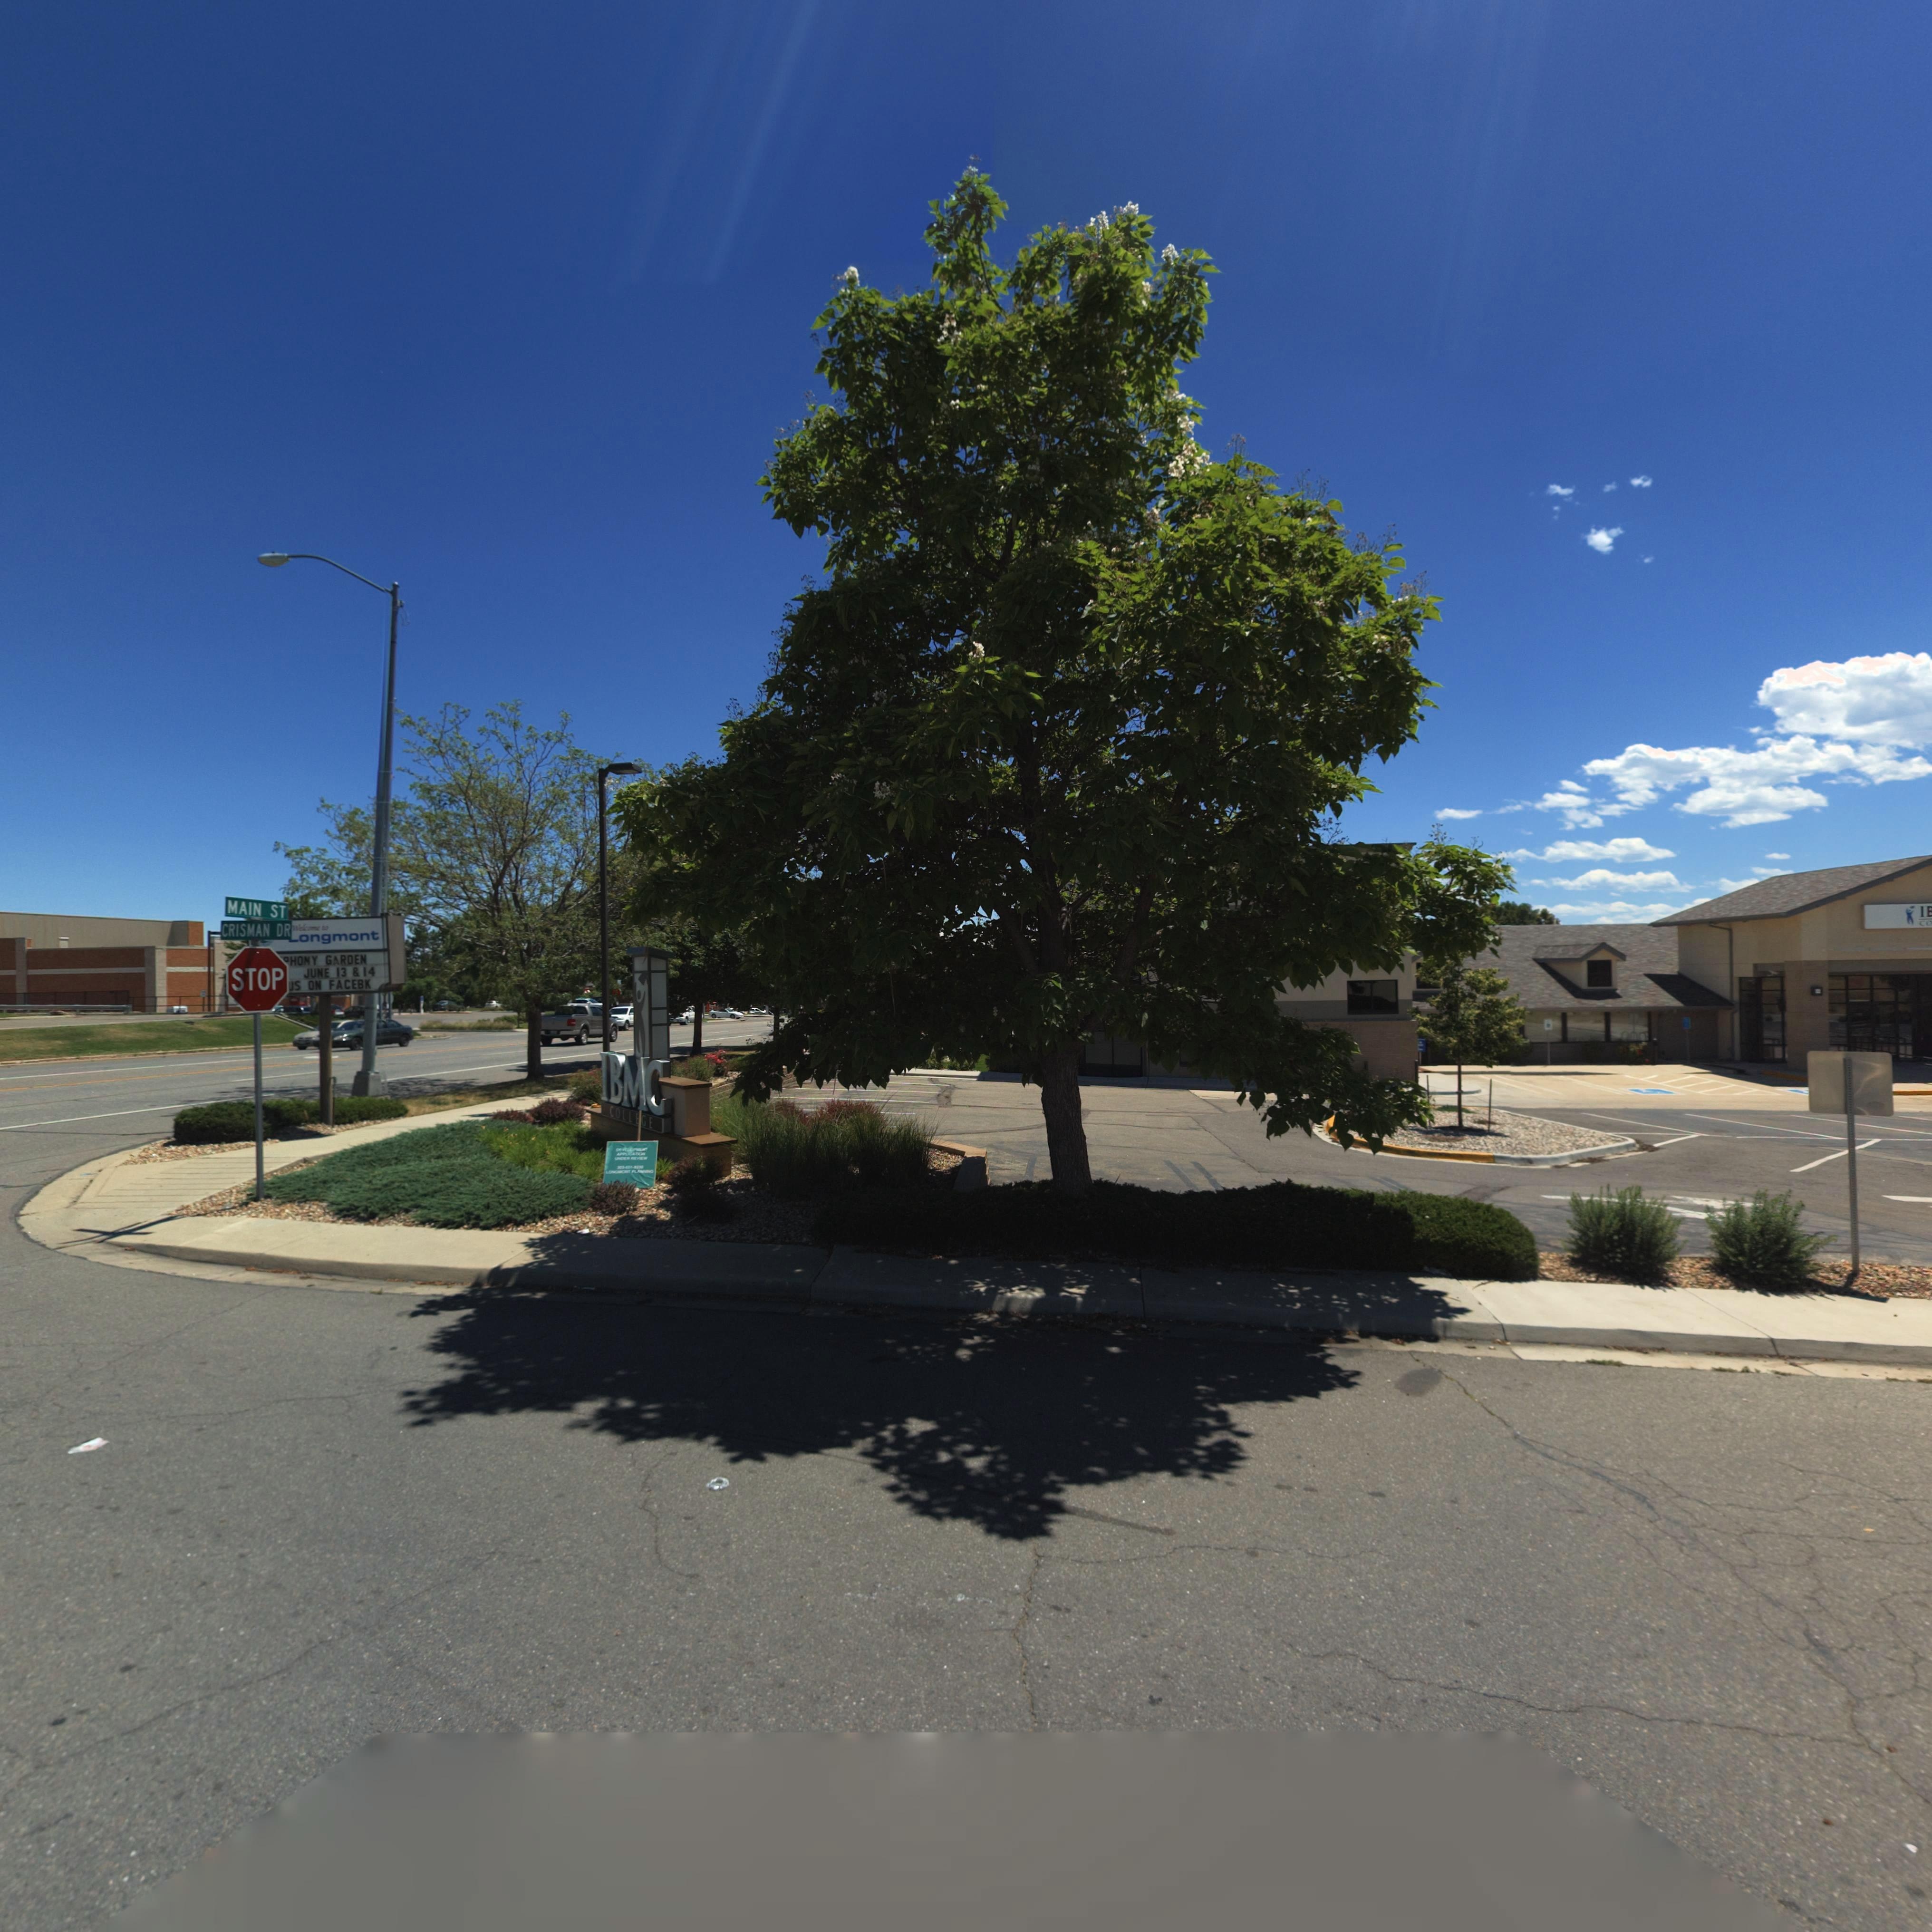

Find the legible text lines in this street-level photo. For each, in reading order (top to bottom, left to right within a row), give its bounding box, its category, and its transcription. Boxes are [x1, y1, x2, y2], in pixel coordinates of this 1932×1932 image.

[227, 898, 287, 919] StreetName: MAIN ST
[1919, 905, 1932, 917] BusinessName: IB
[221, 922, 292, 938] StreetName: CHRISMAN DR
[1918, 920, 1932, 927] BusinessName: CO
[599, 1052, 664, 1116] BusinessName: IBMC
[608, 1104, 654, 1130] BusinessName: COLLEGE